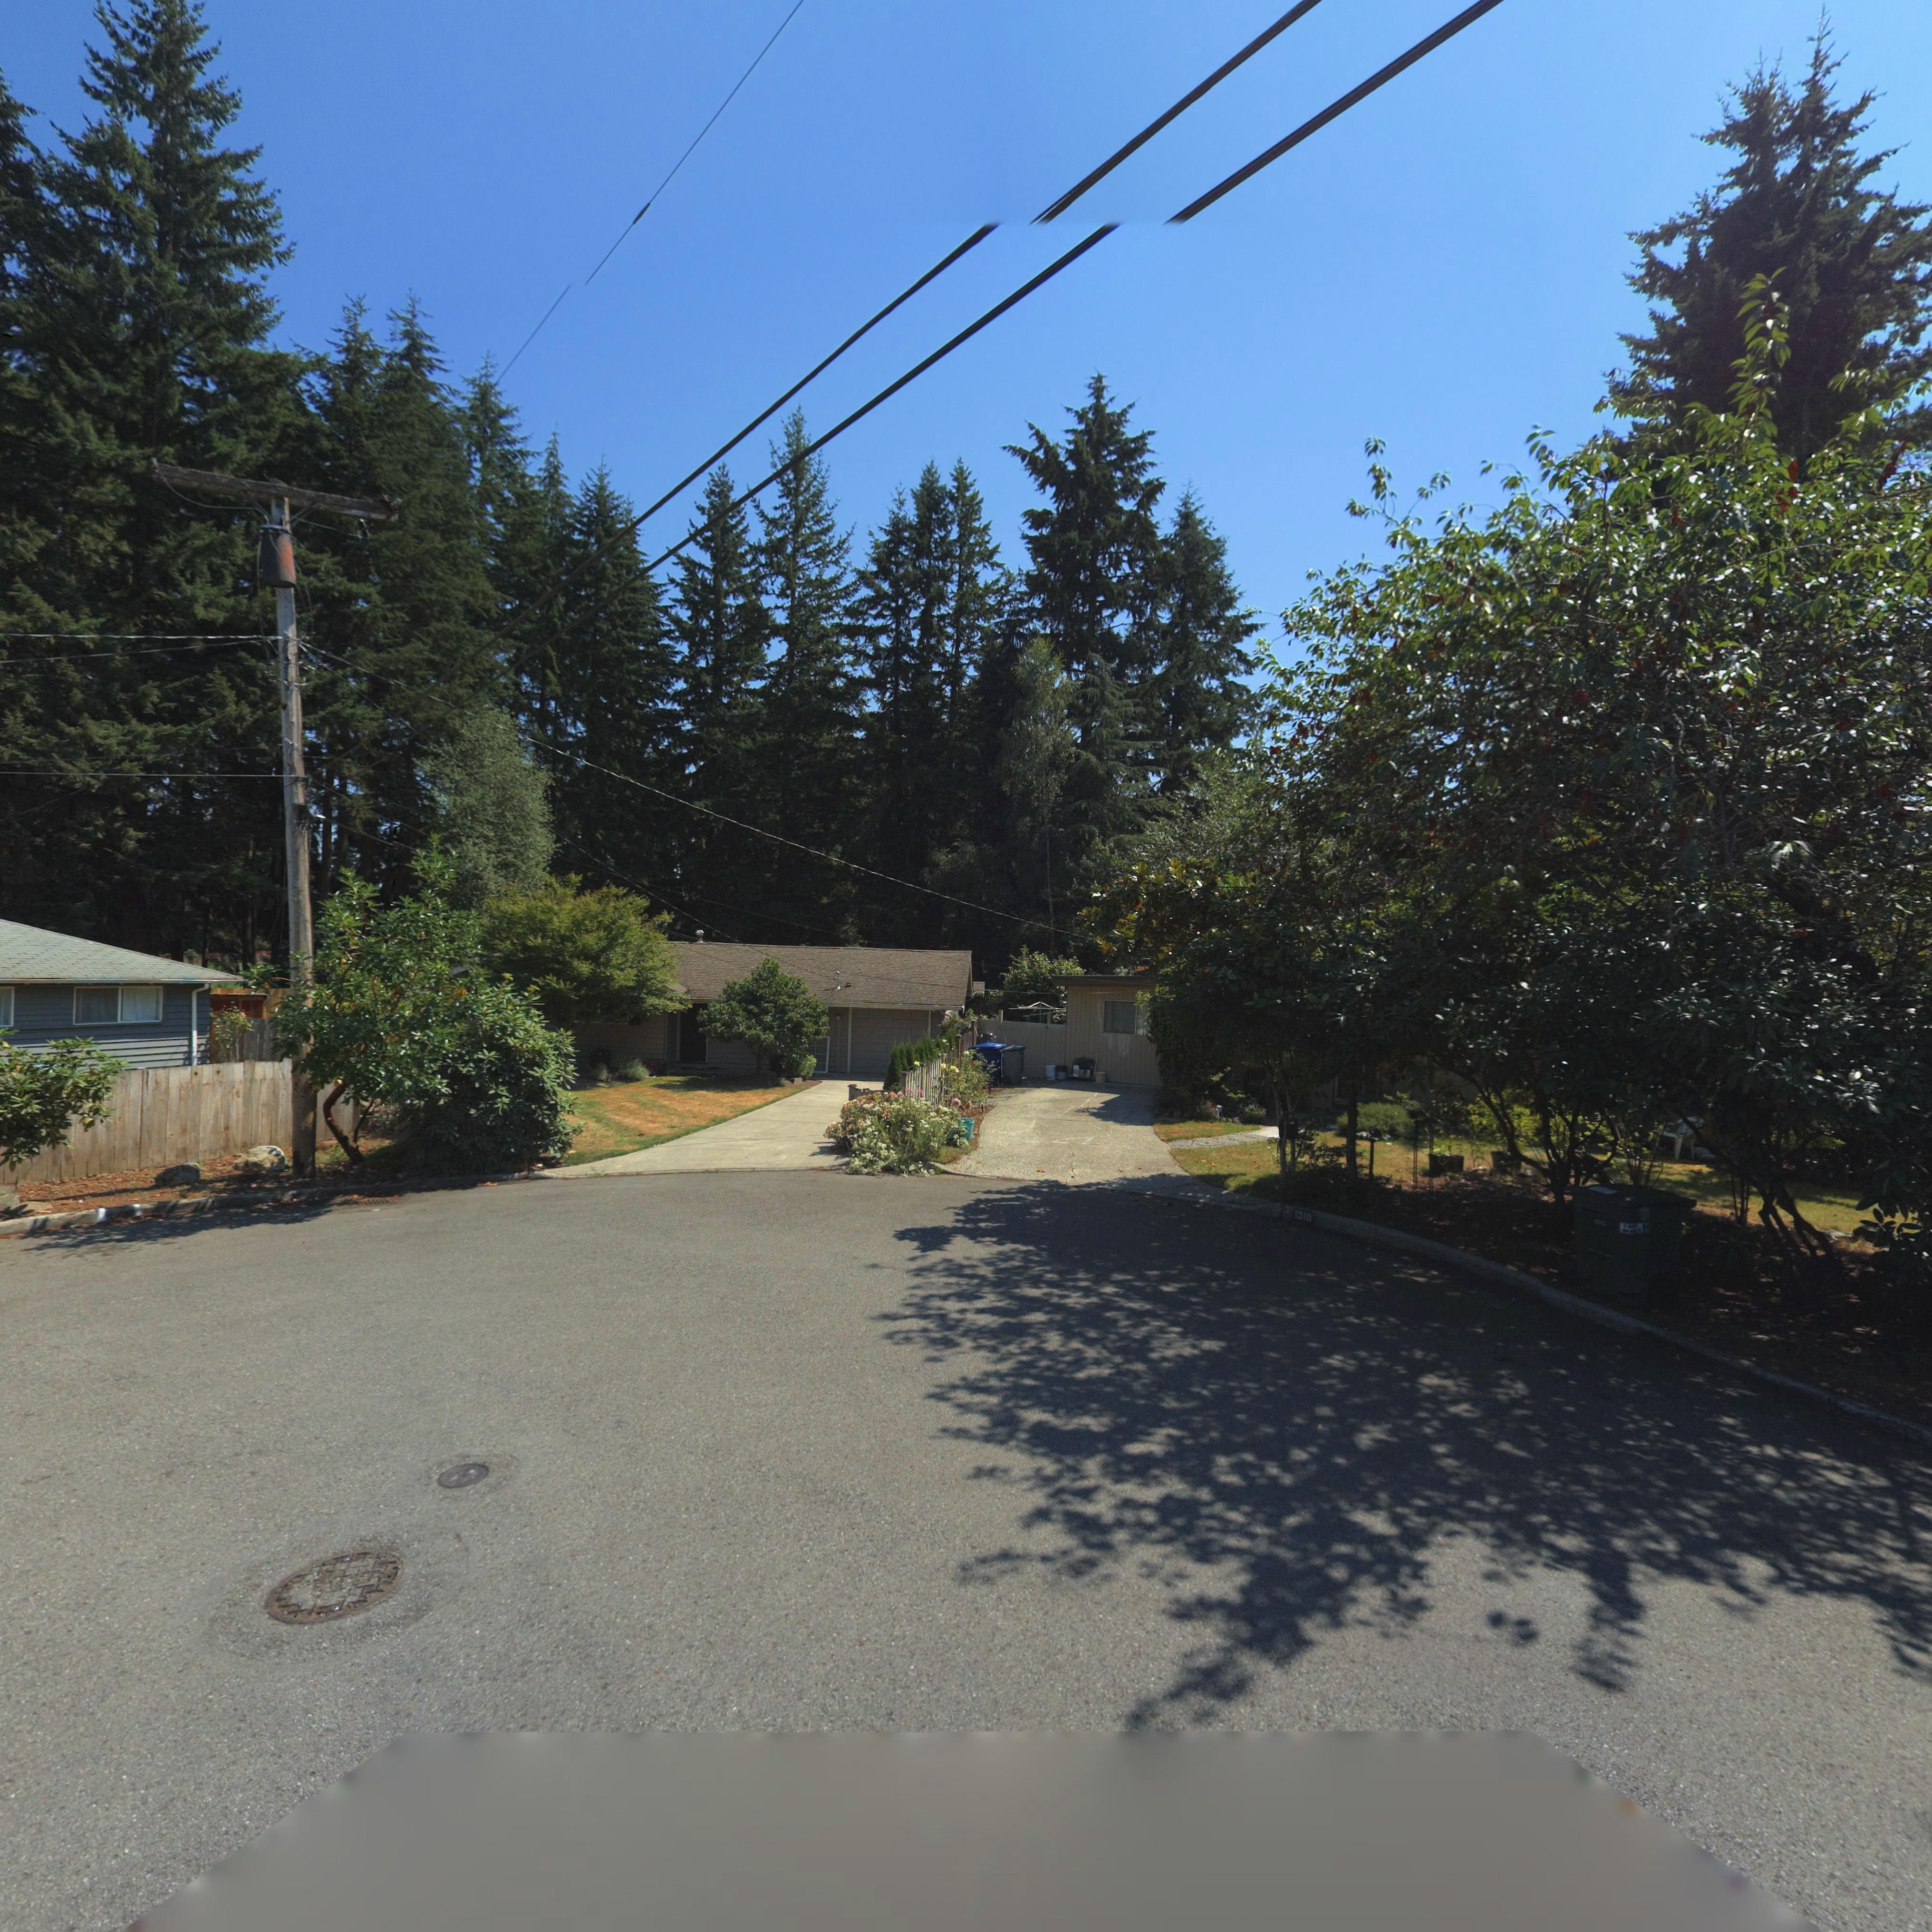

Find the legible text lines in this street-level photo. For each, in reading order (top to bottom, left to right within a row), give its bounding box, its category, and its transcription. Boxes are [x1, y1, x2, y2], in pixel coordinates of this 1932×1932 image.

[1294, 1210, 1312, 1223] StreetNumber: 1310